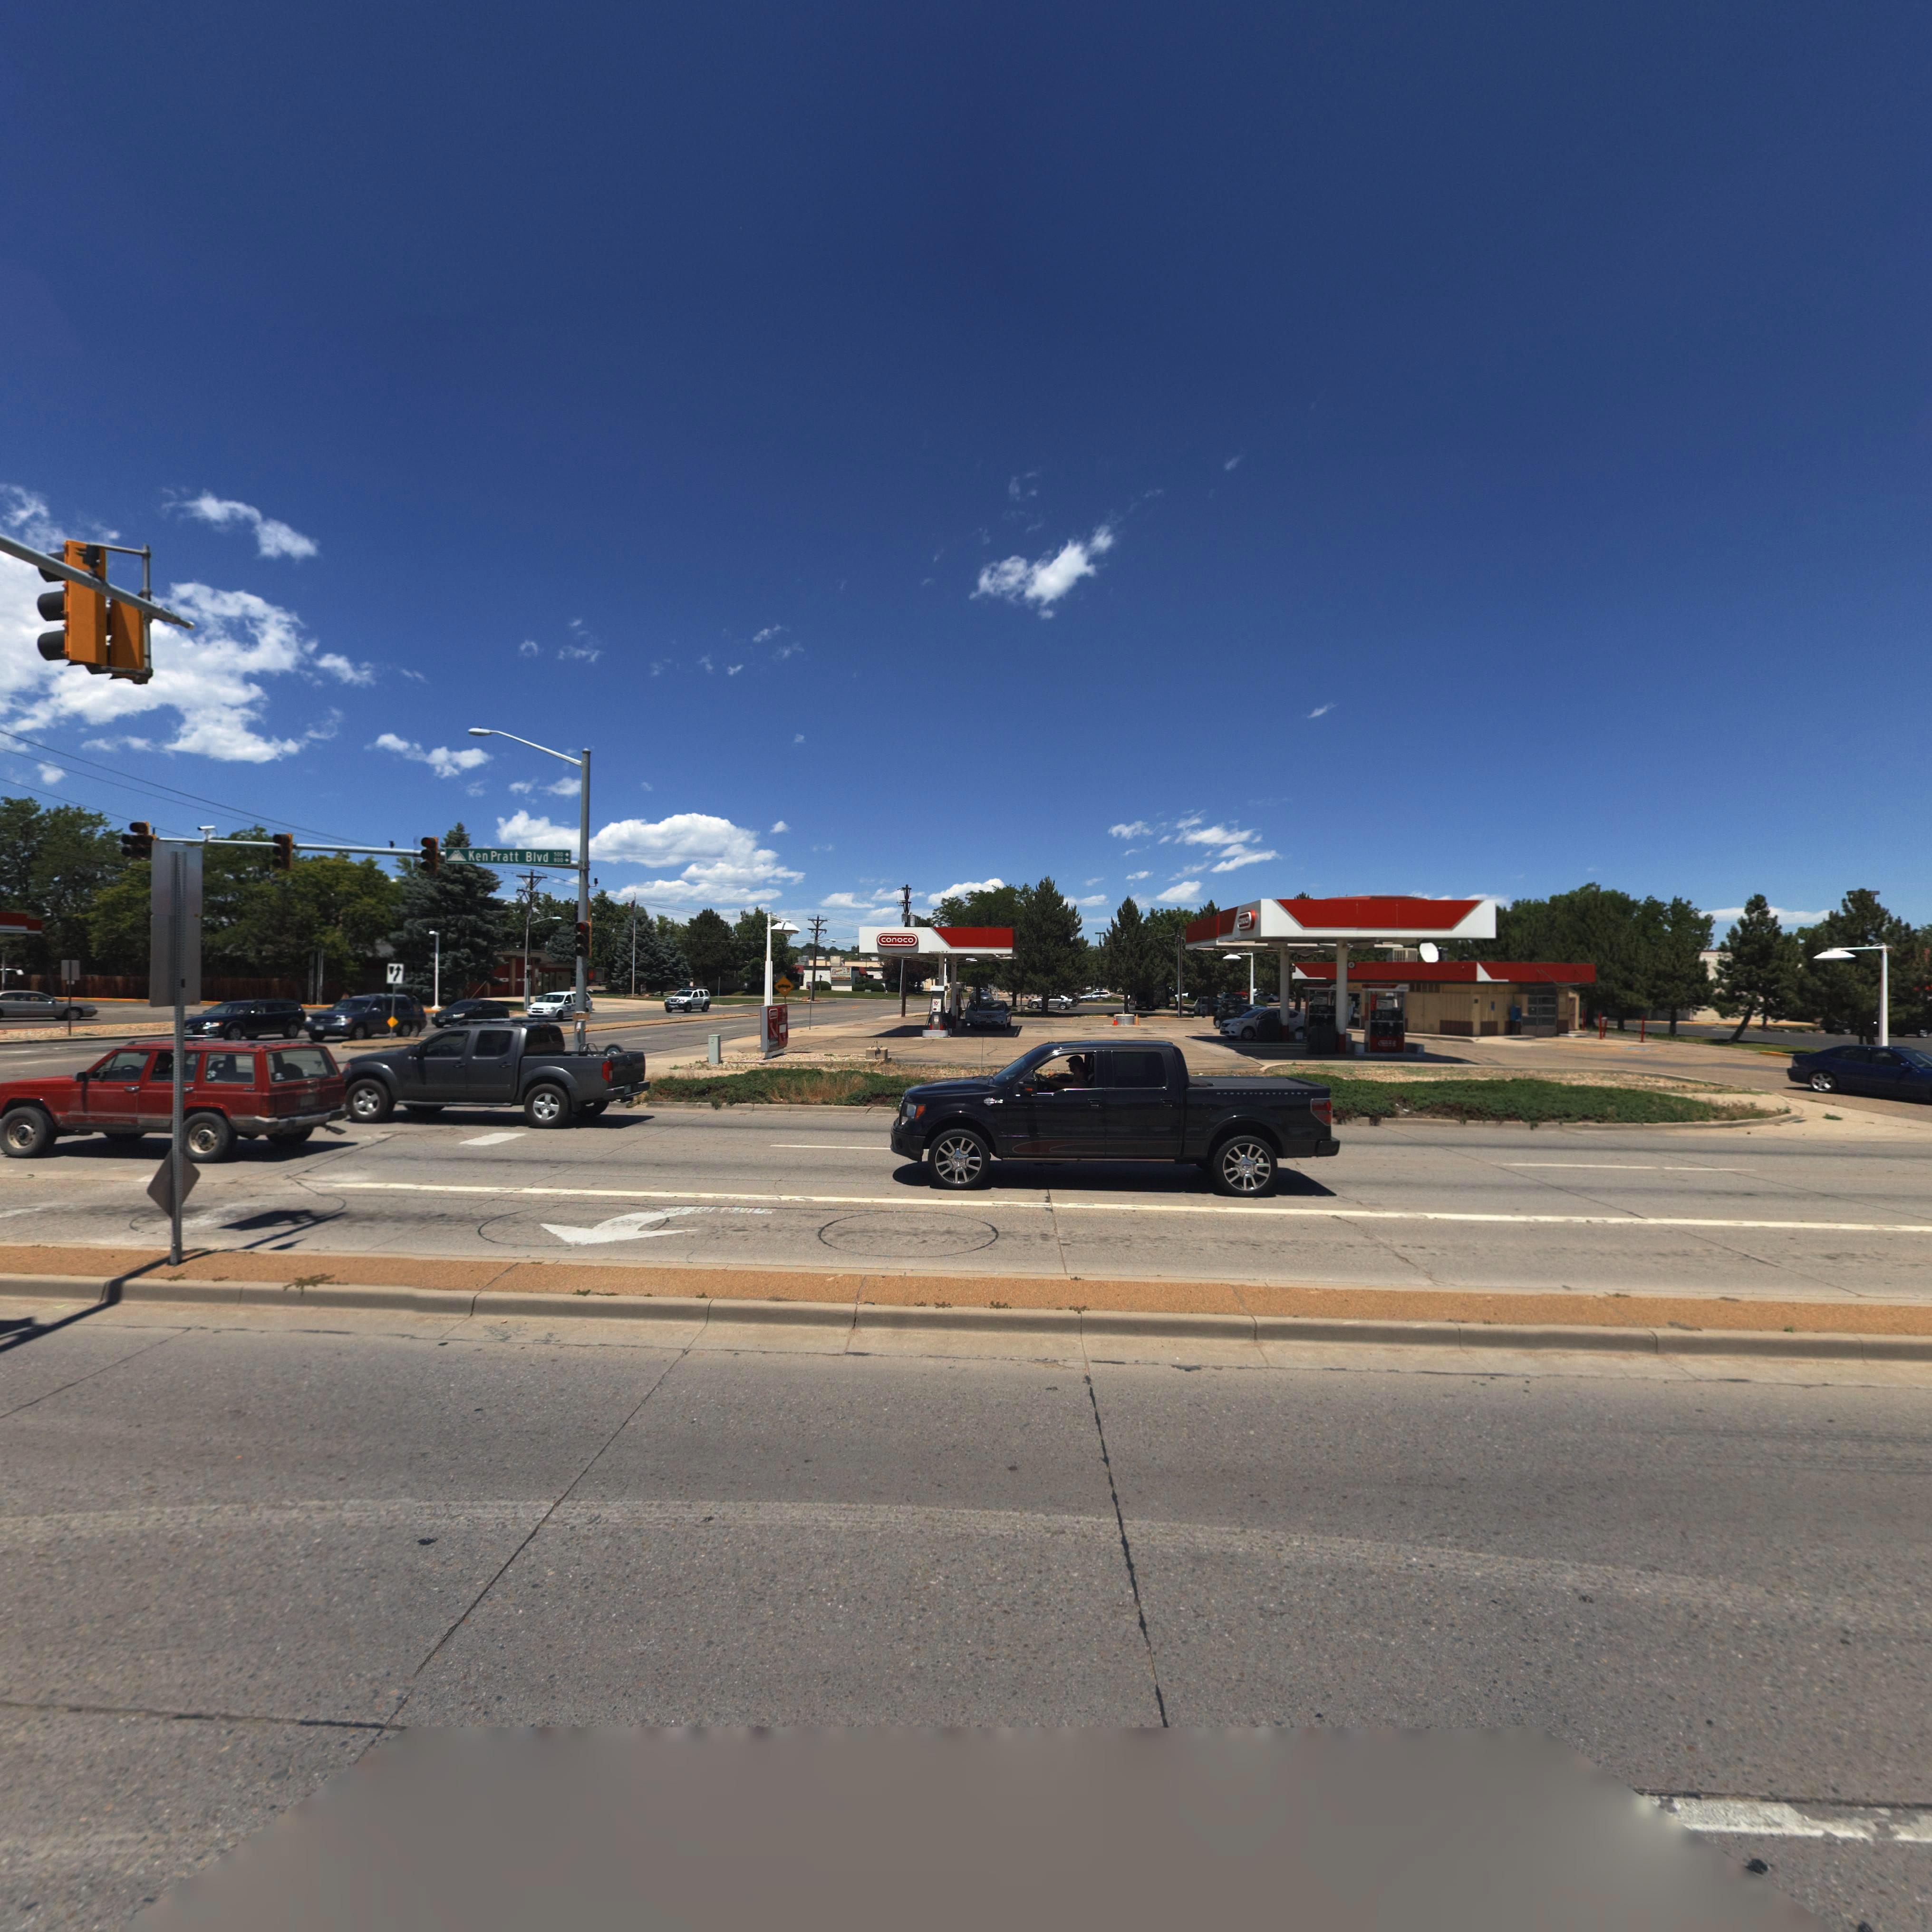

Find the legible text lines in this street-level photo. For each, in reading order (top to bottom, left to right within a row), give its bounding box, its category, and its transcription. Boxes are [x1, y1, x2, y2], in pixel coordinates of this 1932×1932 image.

[468, 850, 549, 862] StreetName: Ken Pratt Blvd
[553, 851, 563, 857] StreetNumberRange: 500
[554, 857, 569, 862] StreetNumberRange: *00 ->
[880, 937, 914, 943] BusinessName: conoco